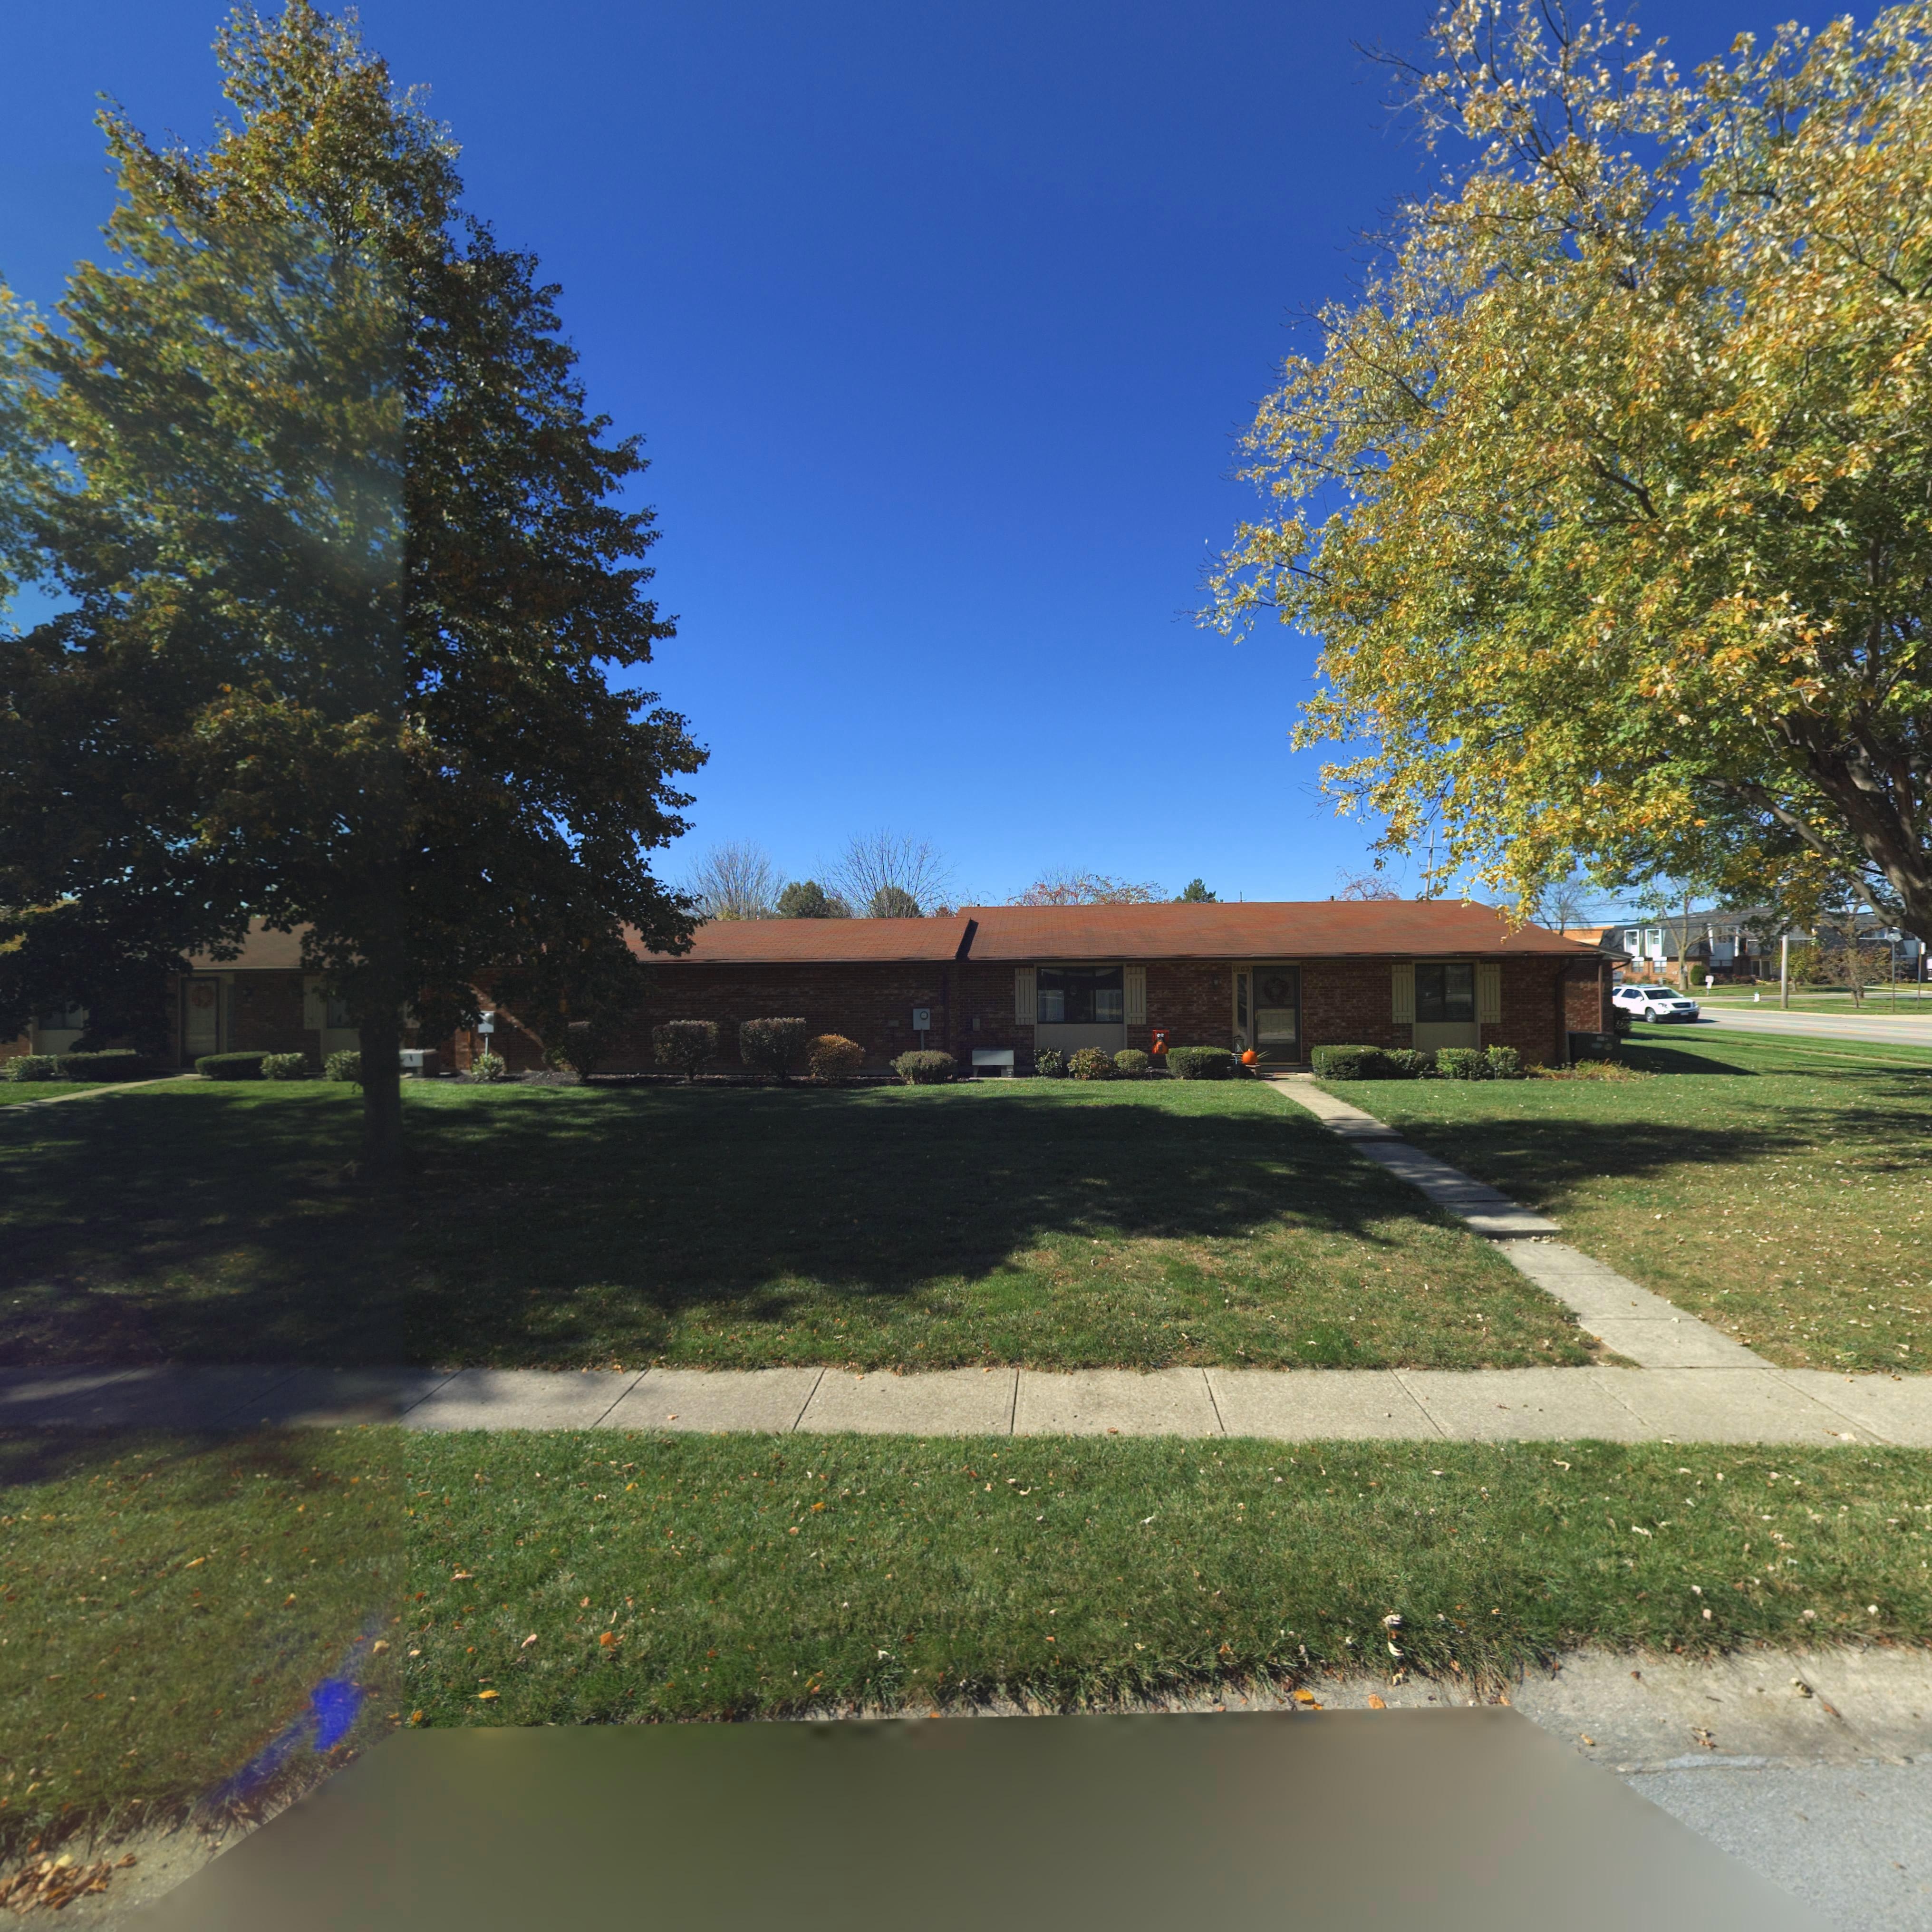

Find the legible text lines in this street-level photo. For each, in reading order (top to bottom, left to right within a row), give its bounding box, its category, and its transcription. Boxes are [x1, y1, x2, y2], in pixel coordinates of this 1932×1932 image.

[1236, 966, 1250, 973] StreetNumber: 103